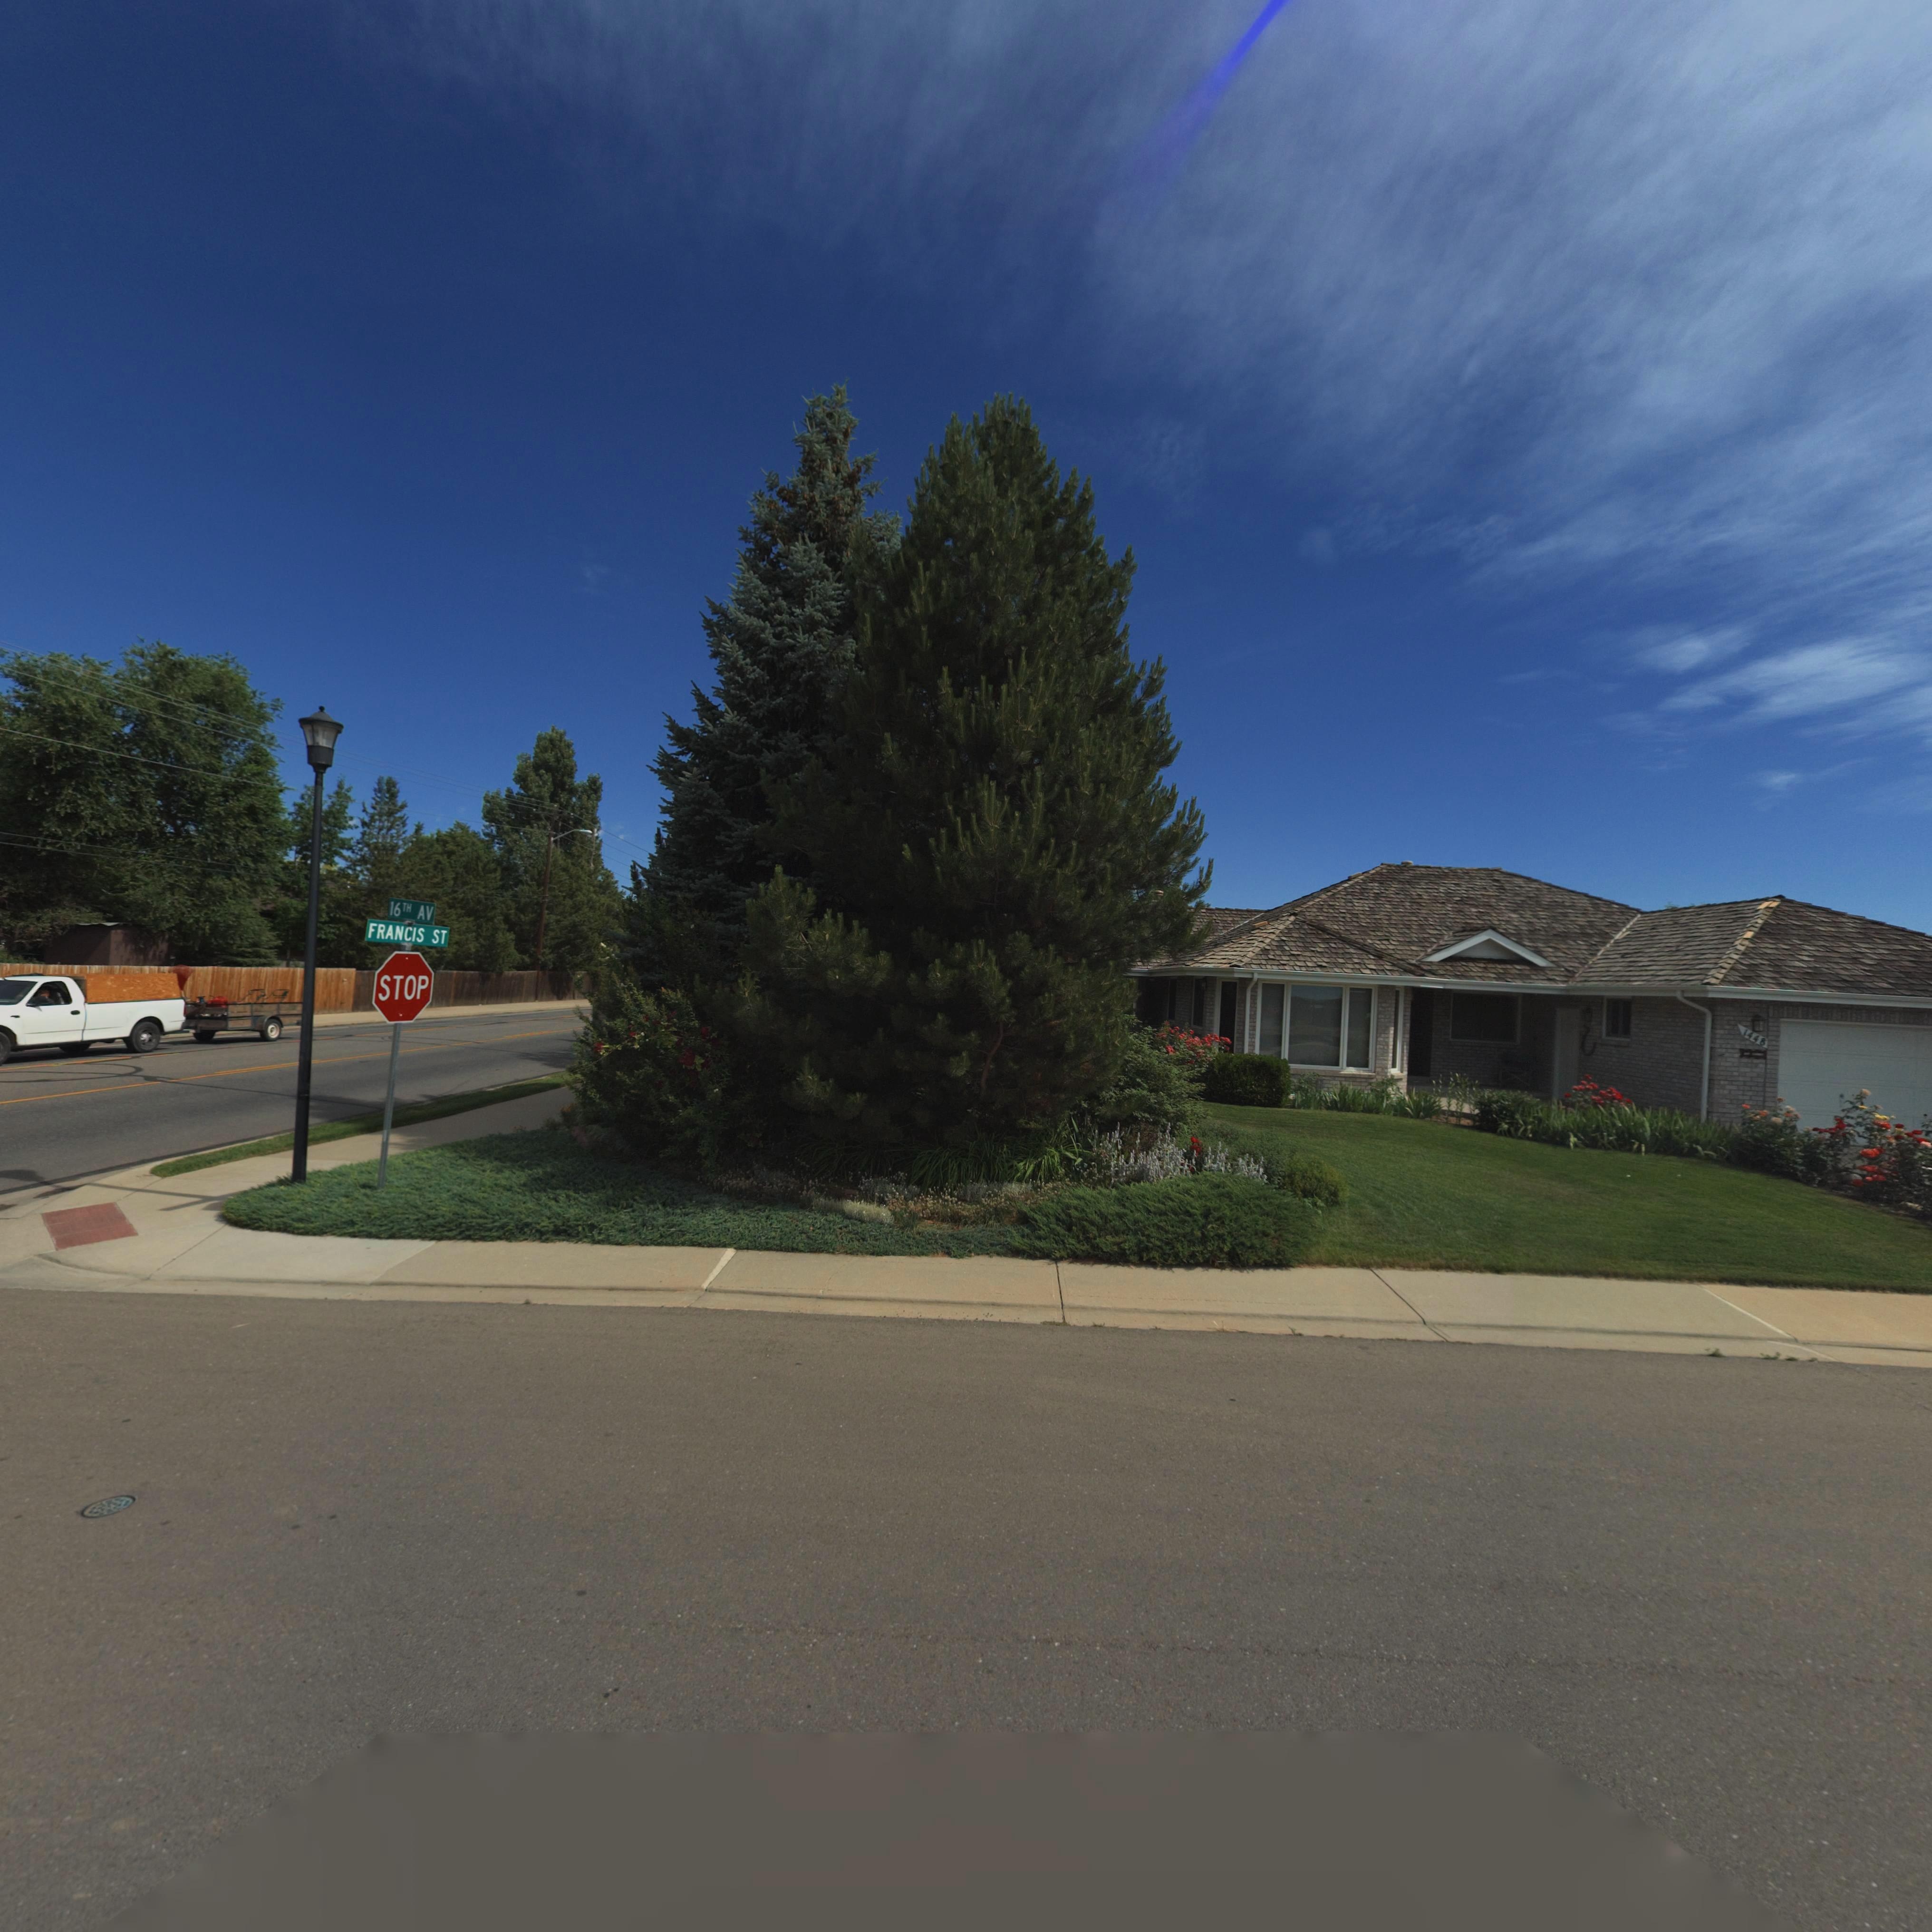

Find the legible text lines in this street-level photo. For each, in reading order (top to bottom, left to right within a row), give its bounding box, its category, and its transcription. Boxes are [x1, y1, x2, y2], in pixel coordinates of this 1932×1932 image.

[389, 900, 434, 921] StreetName: 16TH AV
[367, 922, 447, 945] StreetName: FRANCIS ST
[1742, 1028, 1766, 1046] StreetNumber: 1448